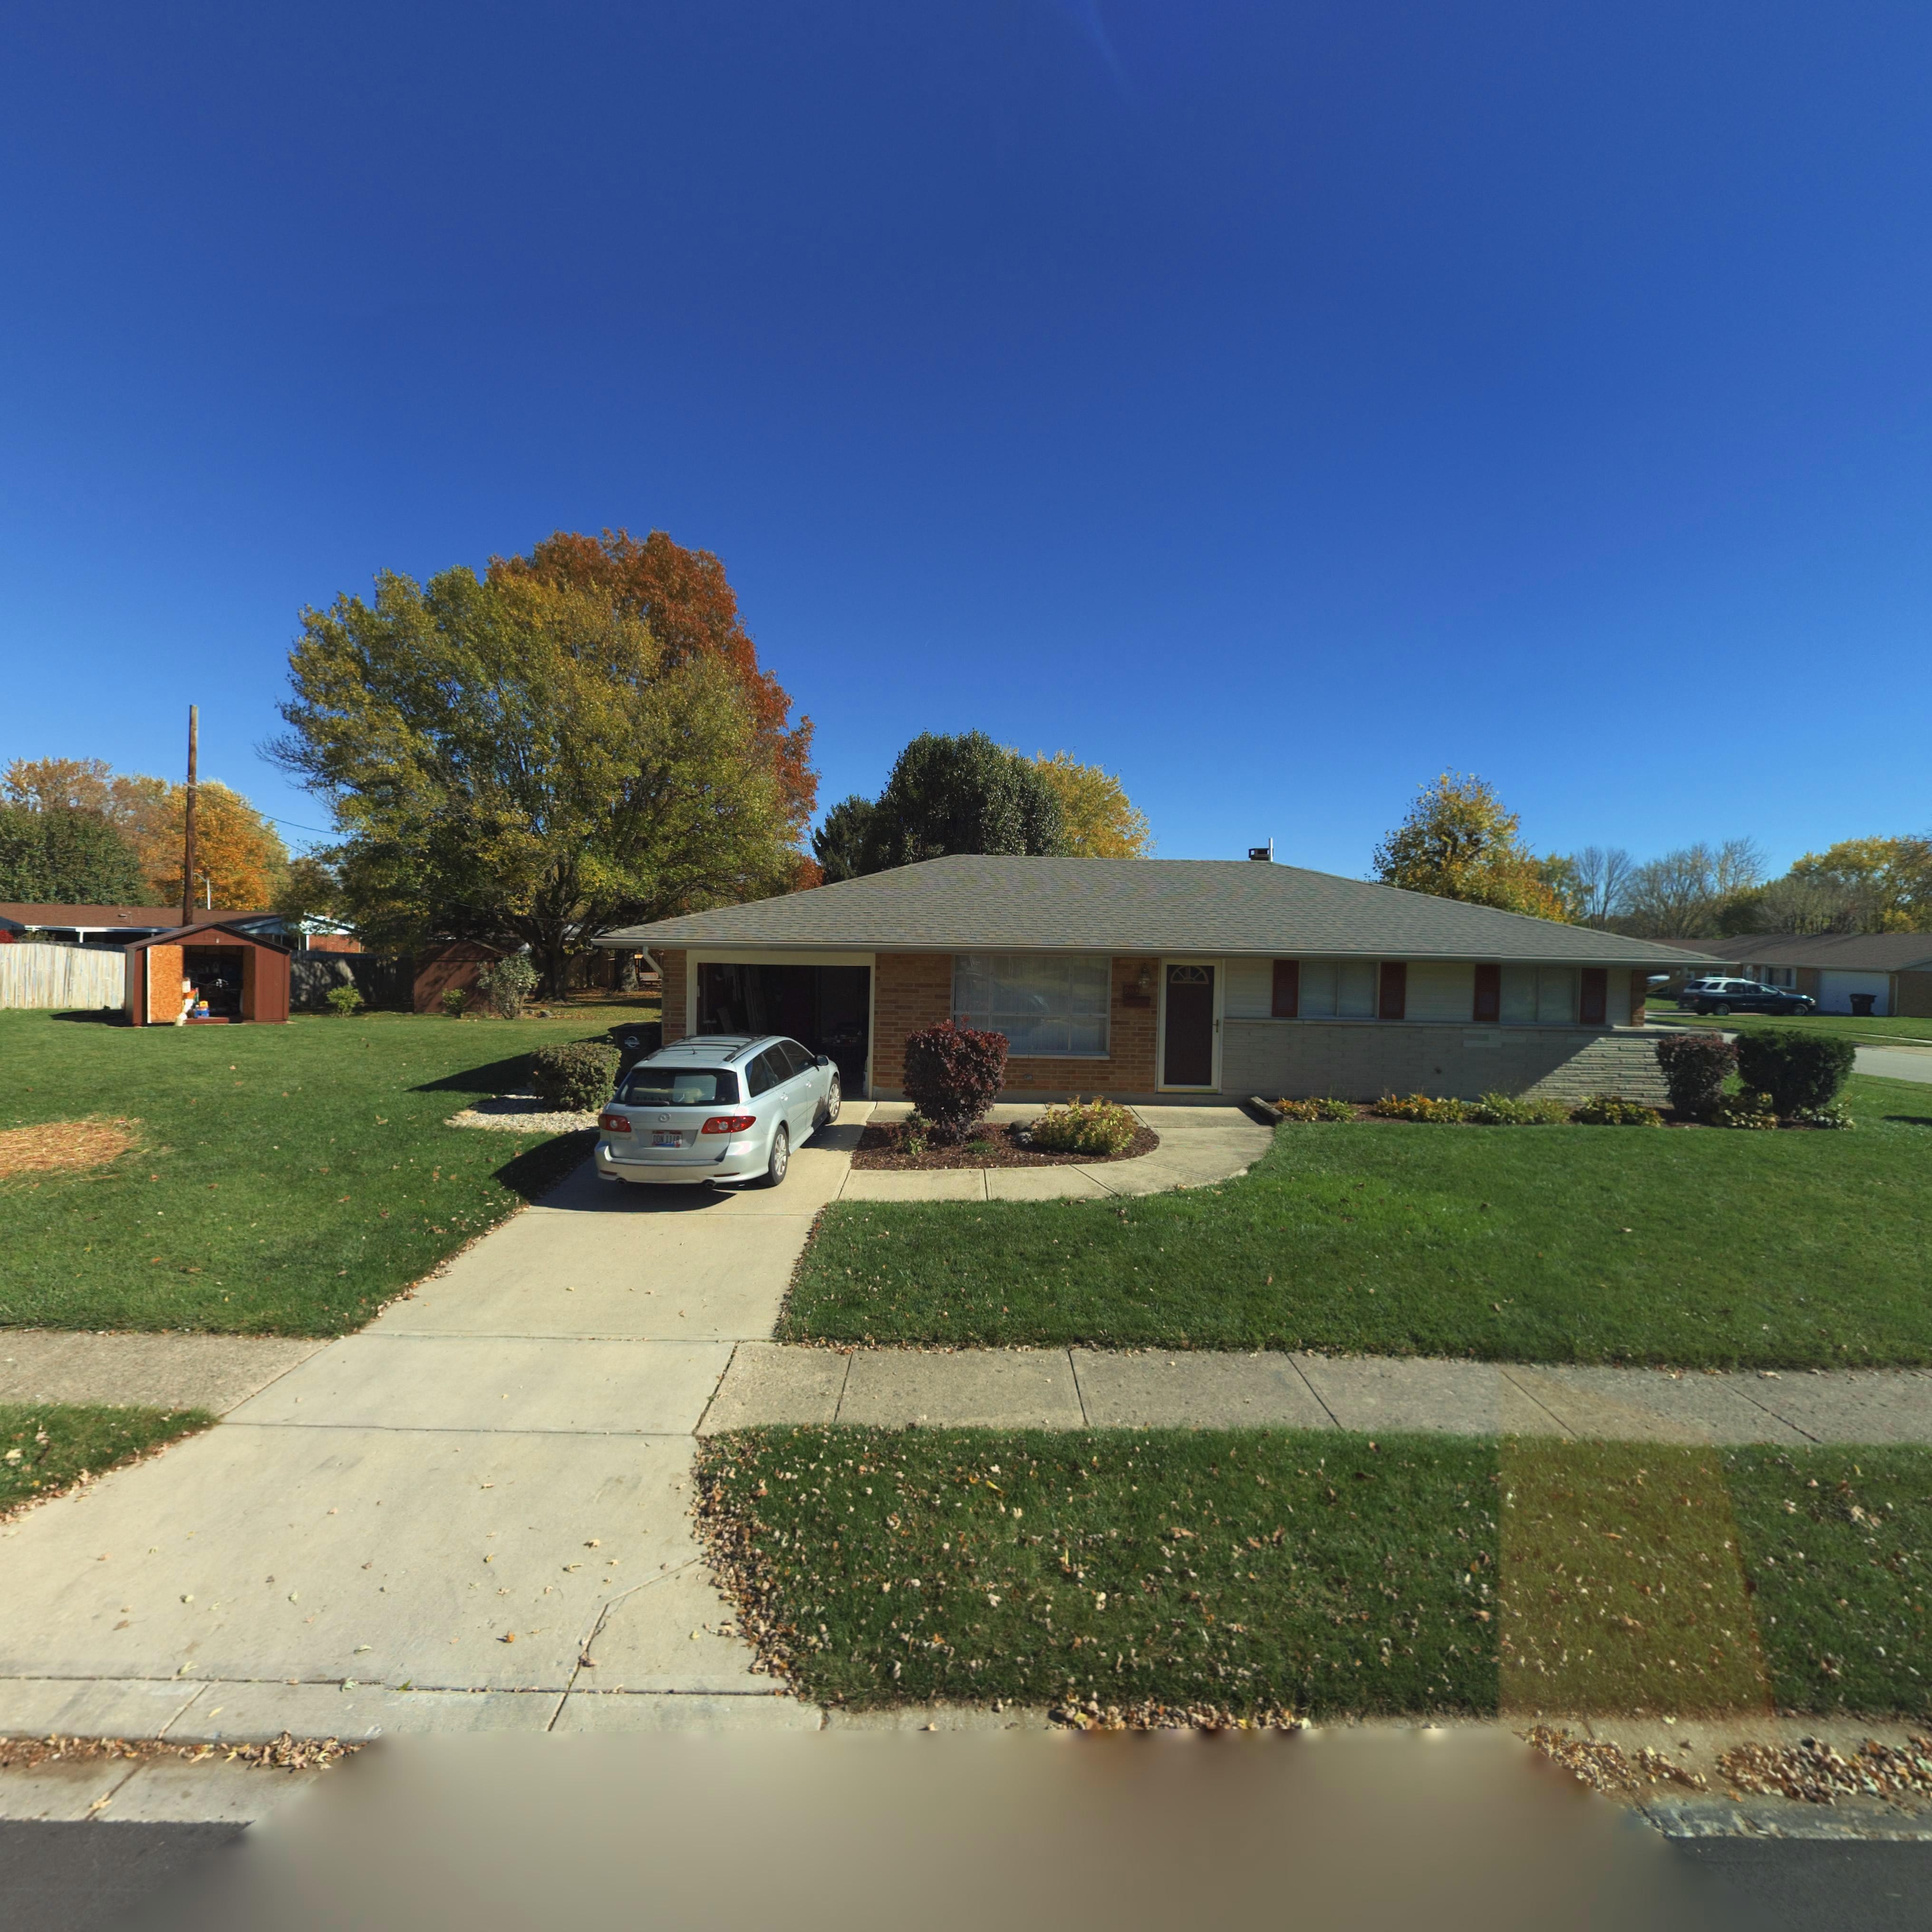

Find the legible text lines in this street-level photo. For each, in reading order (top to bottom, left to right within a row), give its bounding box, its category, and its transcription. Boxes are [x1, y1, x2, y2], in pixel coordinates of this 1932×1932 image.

[1123, 986, 1139, 995] StreetNumber: 903